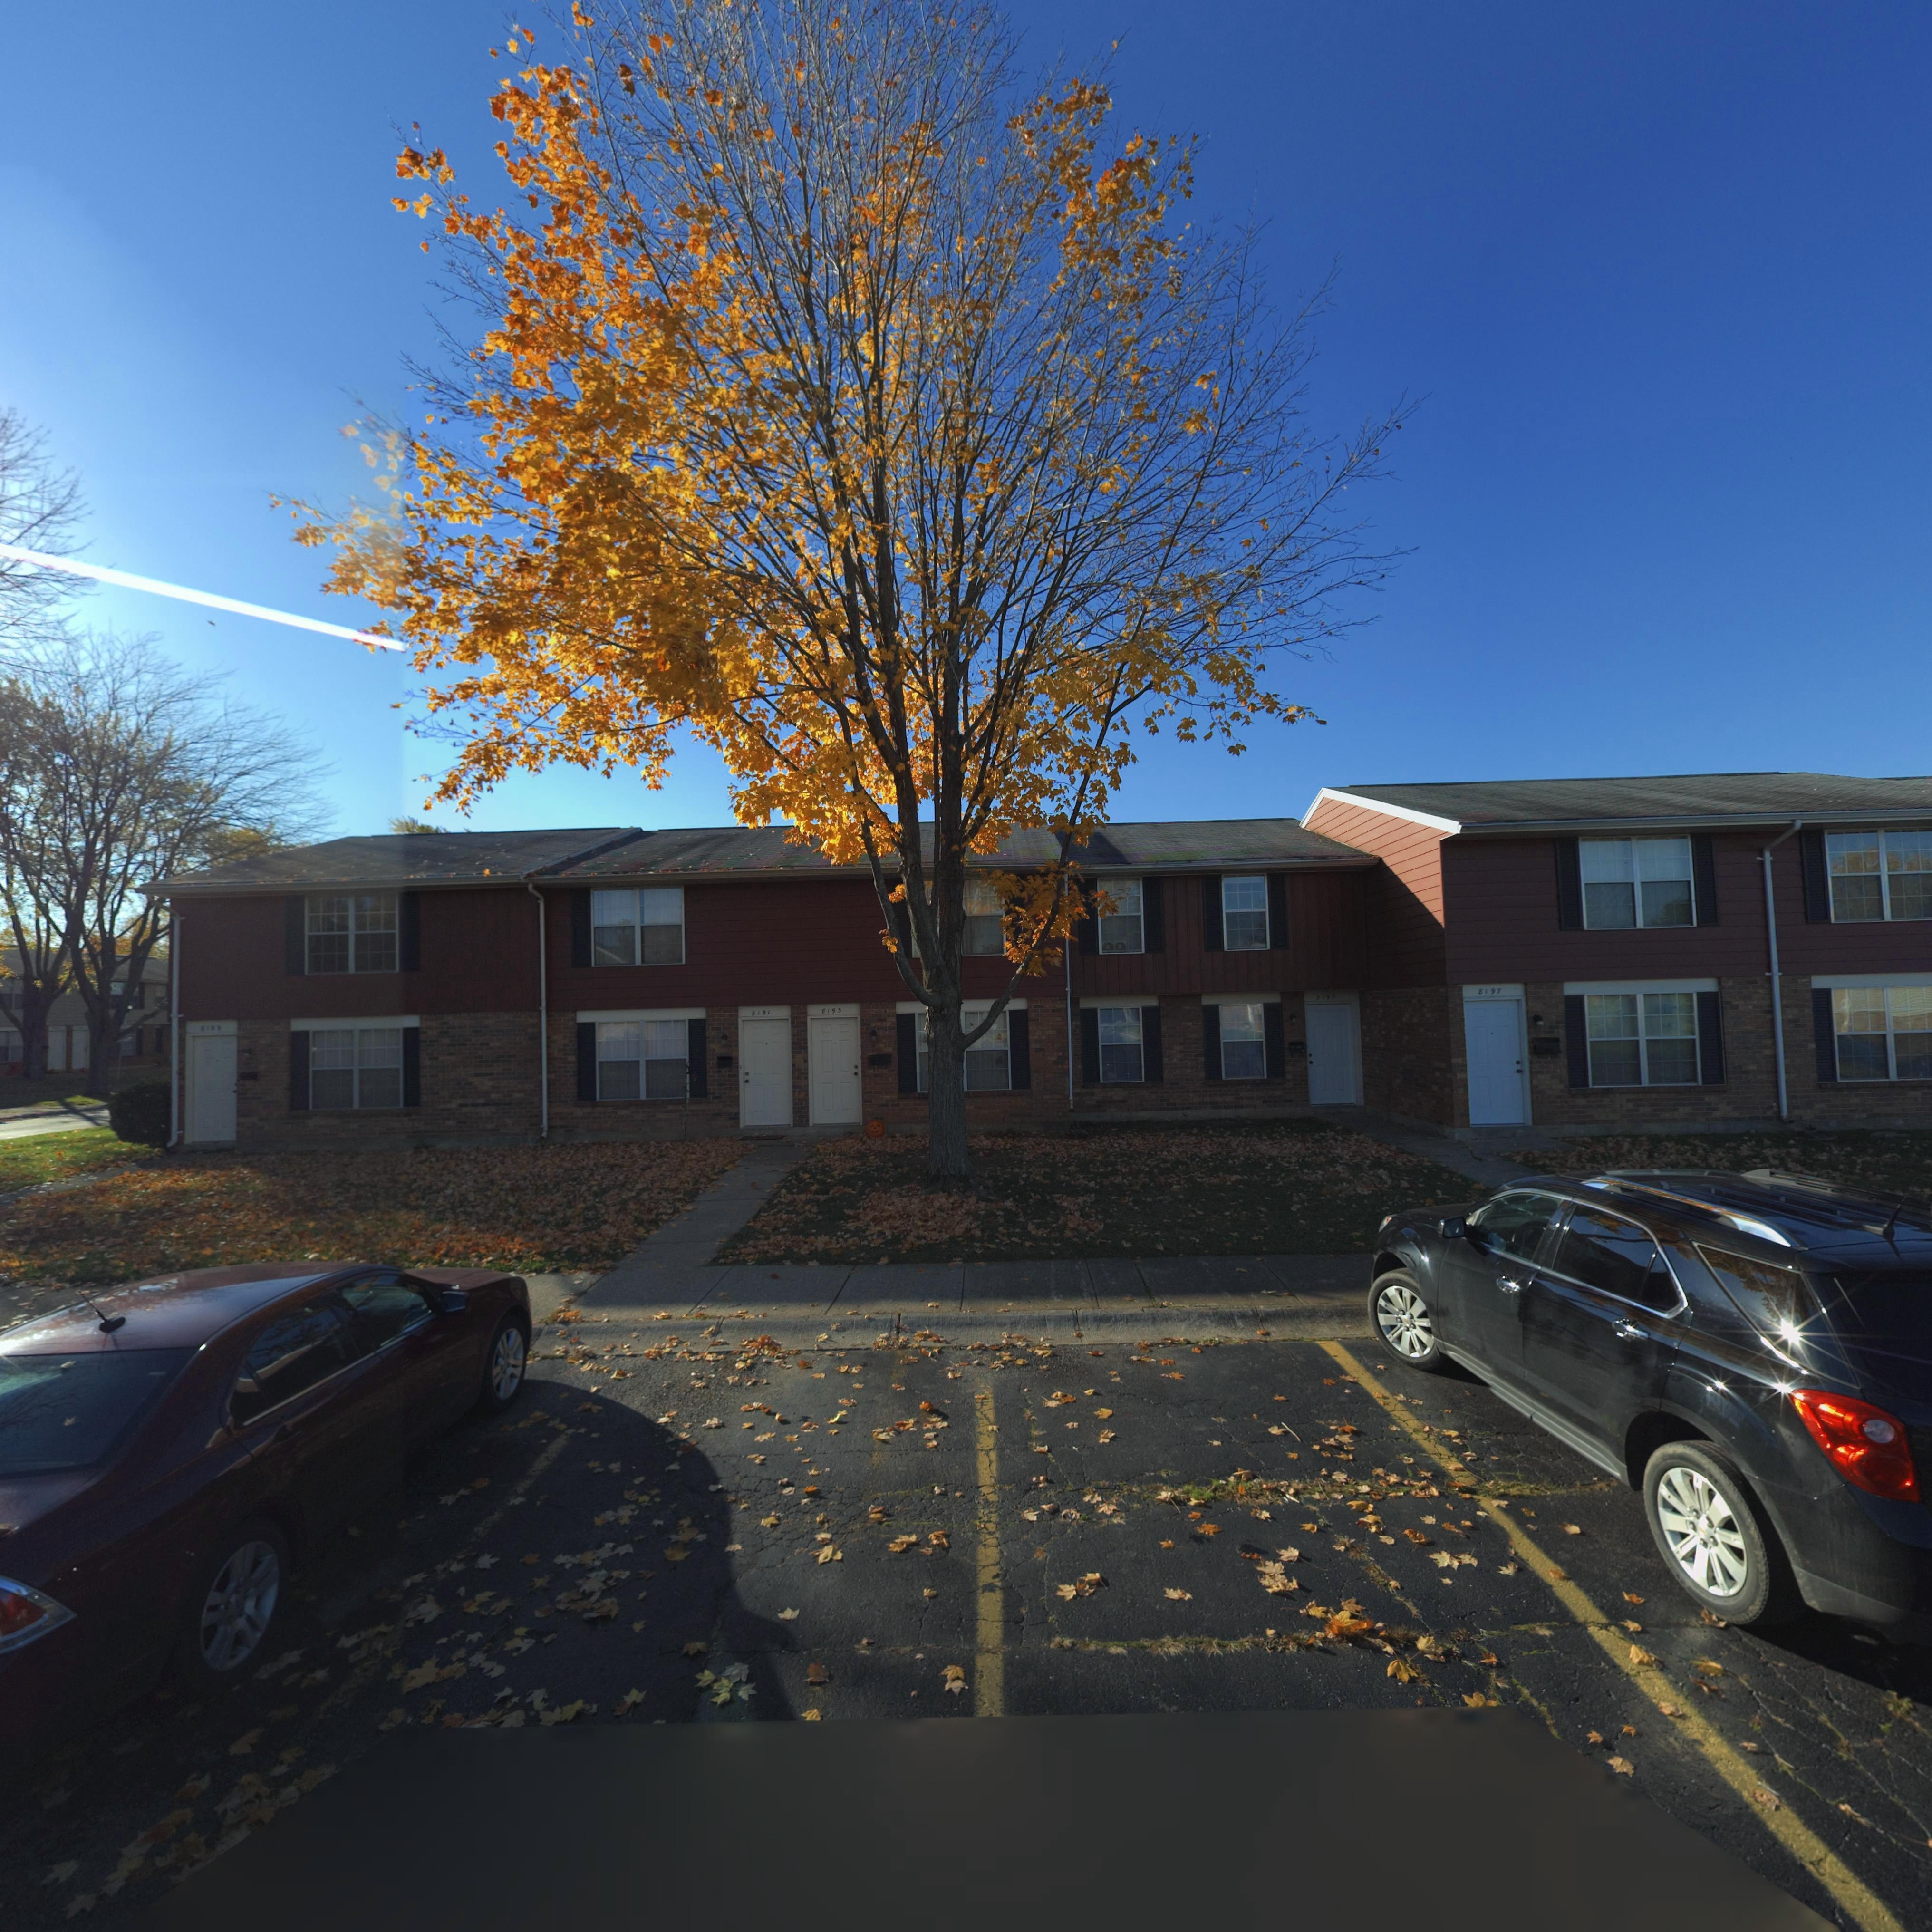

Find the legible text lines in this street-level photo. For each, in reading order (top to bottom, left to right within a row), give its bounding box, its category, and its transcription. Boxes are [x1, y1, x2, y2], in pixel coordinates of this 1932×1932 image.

[1478, 987, 1502, 995] StreetNumber: 8197
[1315, 994, 1337, 1001] StreetNumber: 8195
[750, 1009, 771, 1016] StreetNumber: 8191
[821, 1007, 842, 1015] StreetNumber: 8193
[200, 1024, 222, 1032] StreetNumber: 8189